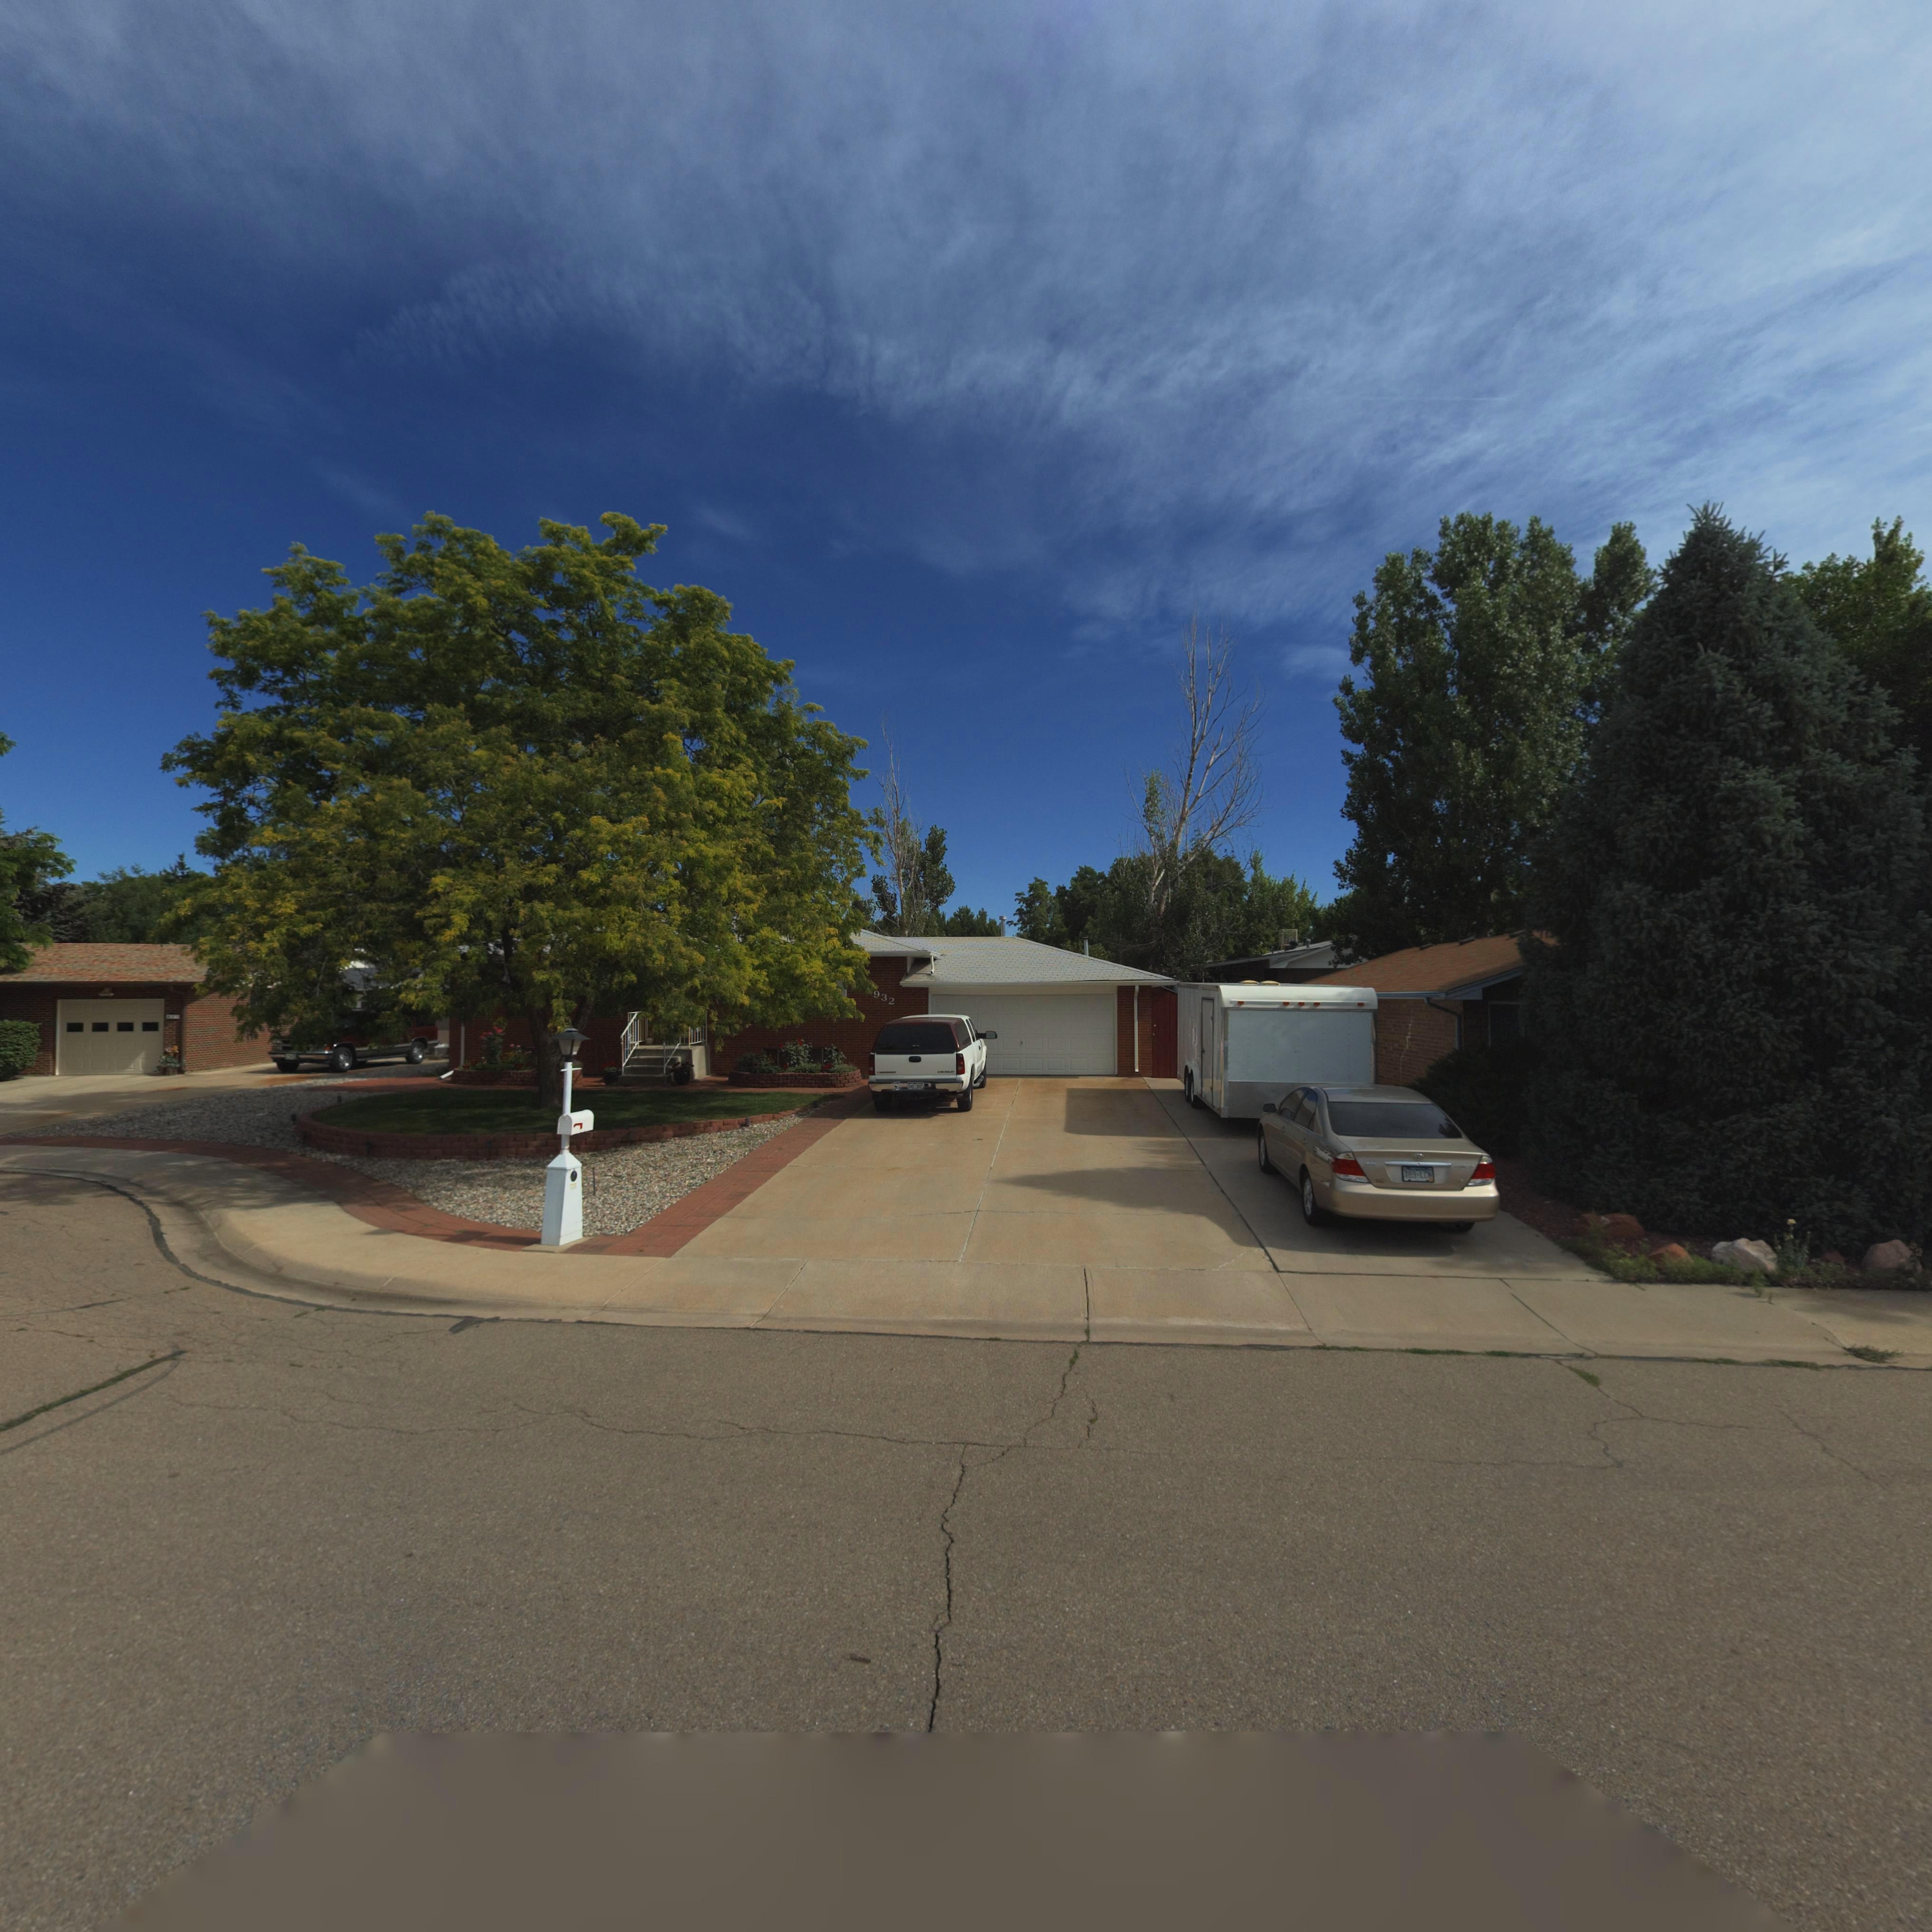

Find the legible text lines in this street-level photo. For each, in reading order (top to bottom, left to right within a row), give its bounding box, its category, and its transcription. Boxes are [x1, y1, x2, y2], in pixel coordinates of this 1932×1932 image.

[872, 989, 895, 1005] StreetNumber: 932